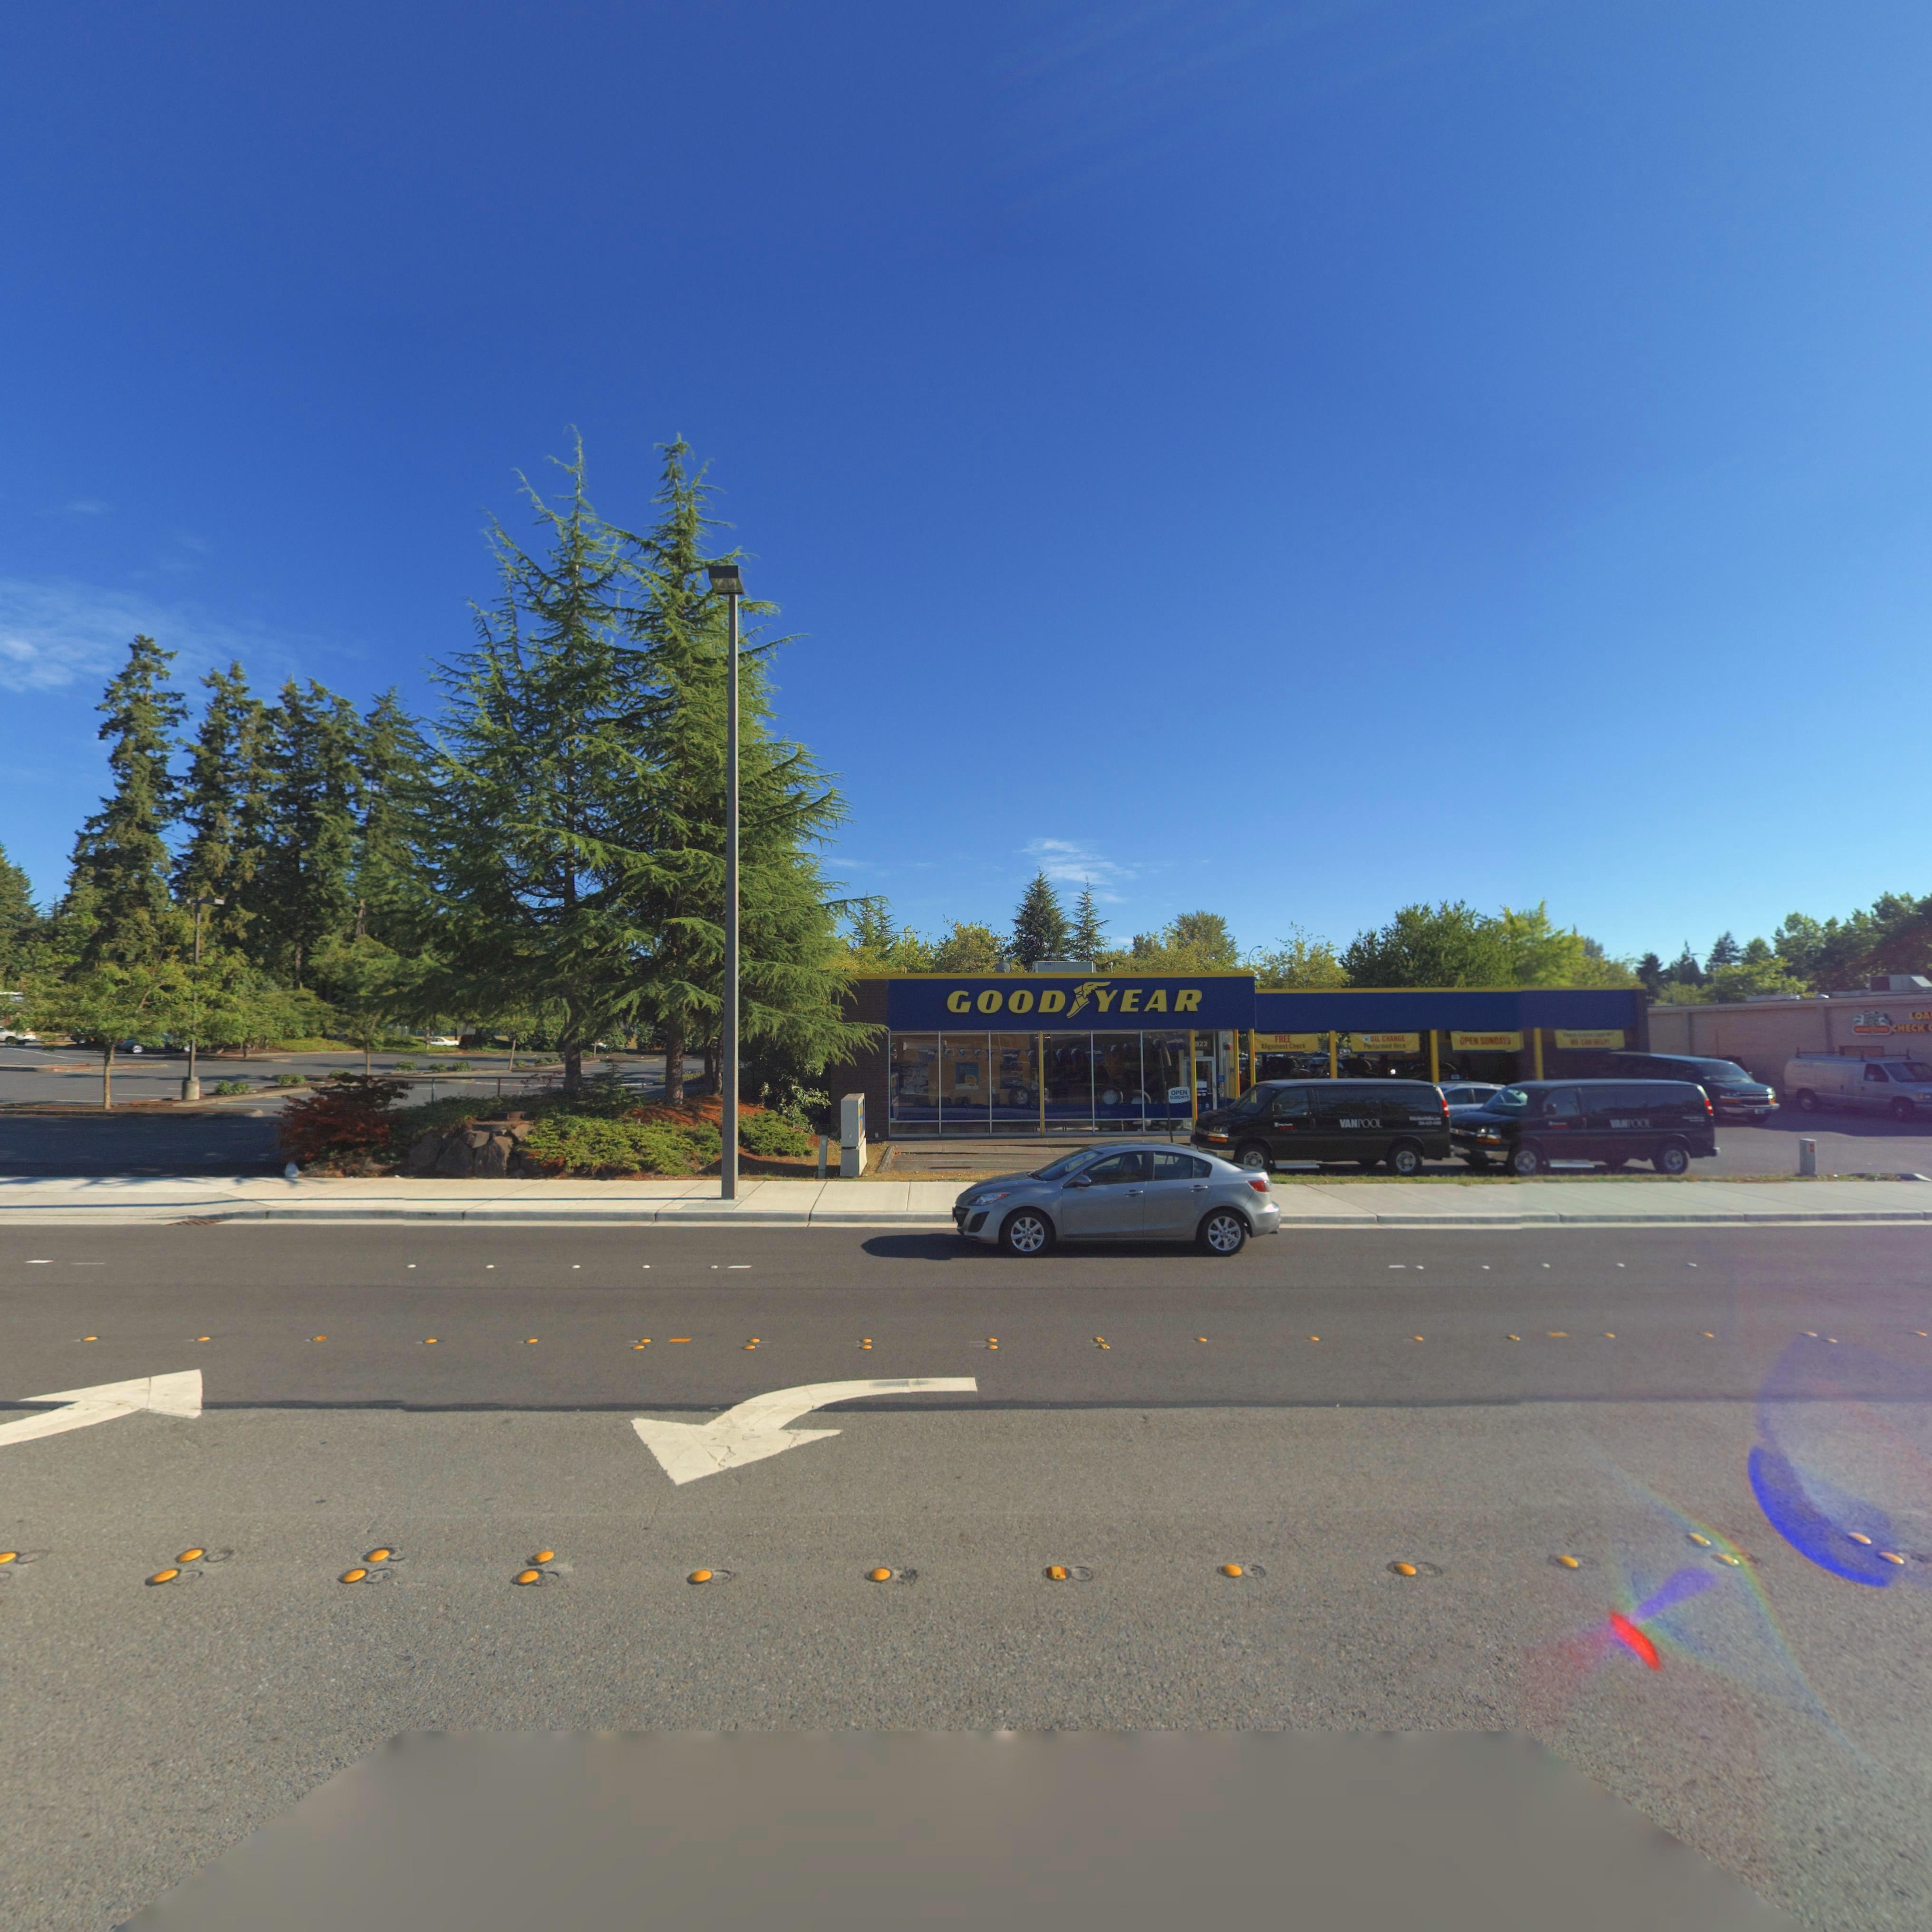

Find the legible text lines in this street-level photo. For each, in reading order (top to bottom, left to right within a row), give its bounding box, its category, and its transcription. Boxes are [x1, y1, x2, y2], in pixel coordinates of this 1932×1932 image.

[947, 981, 1202, 1019] BusinessName: GOOD*YEAR
[1908, 1011, 1931, 1020] BusinessName: LOA*
[1890, 1024, 1930, 1033] BusinessName: CHECK *
[1195, 1040, 1207, 1047] StreetNumber: 923